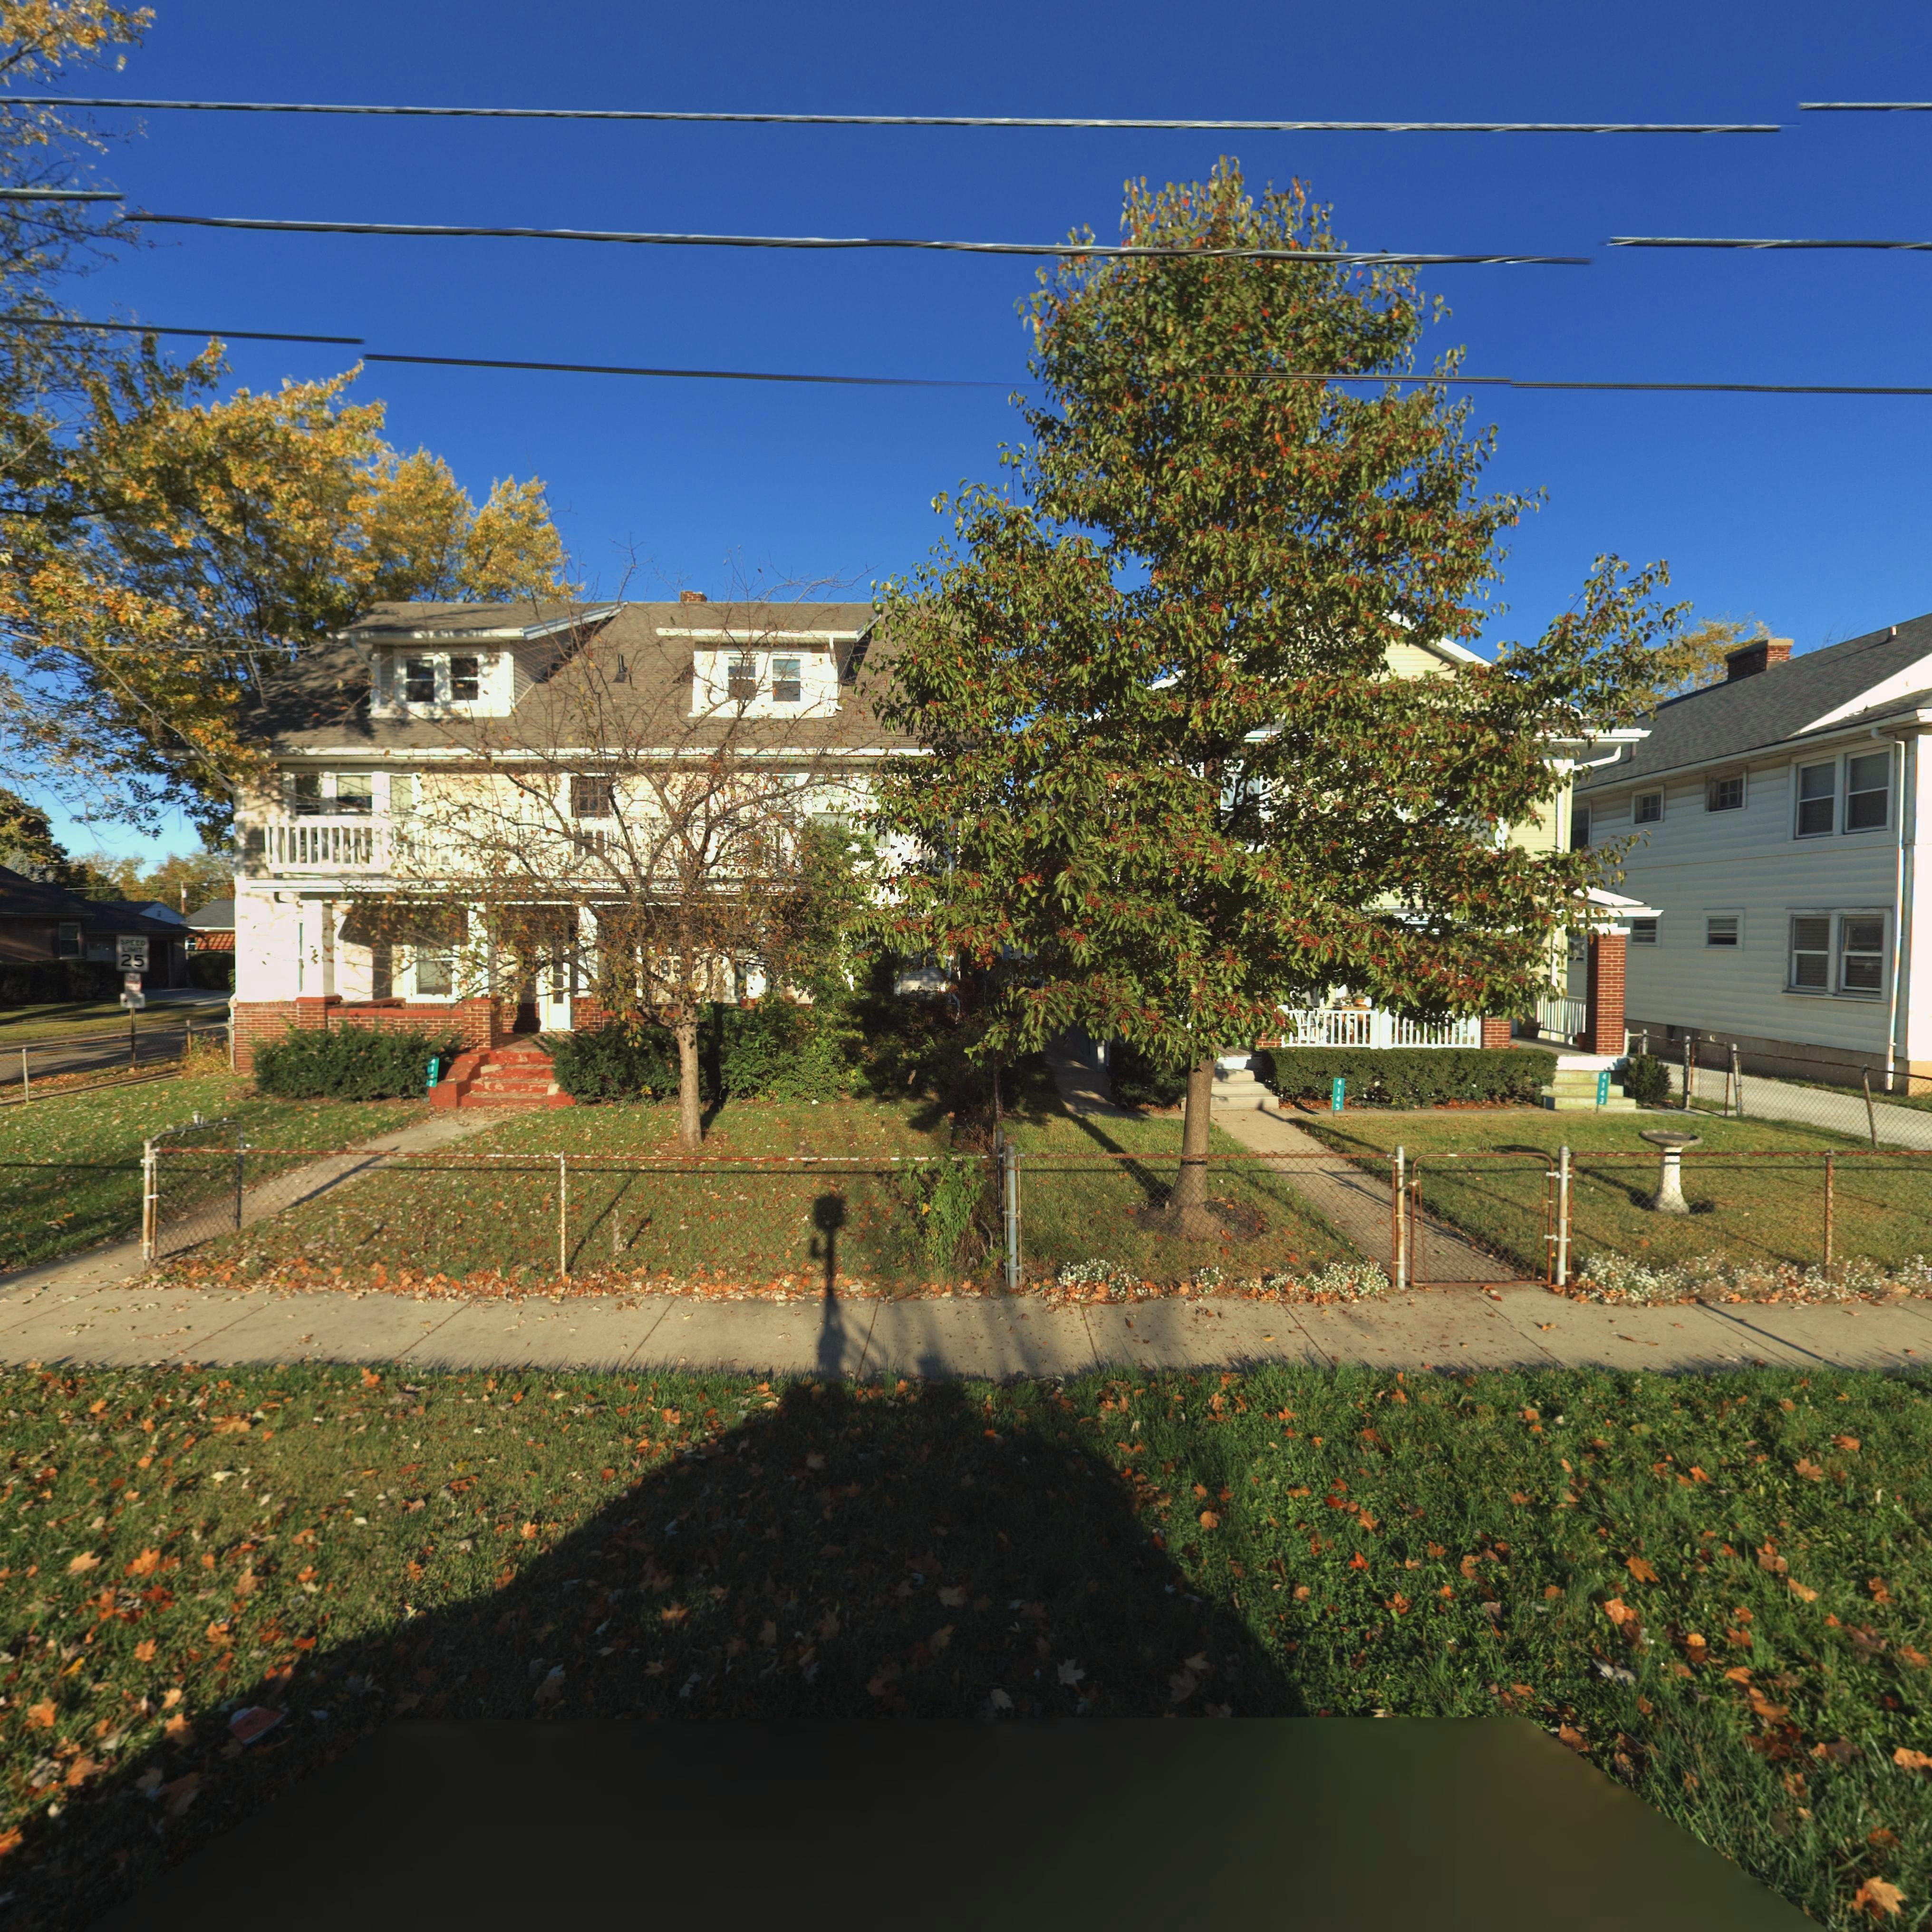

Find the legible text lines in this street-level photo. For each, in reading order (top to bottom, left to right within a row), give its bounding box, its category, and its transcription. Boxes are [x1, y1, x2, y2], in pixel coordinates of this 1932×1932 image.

[428, 1057, 436, 1087] StreetNumber: 41*7
[1335, 1079, 1343, 1110] StreetNumber: 4145
[1598, 1072, 1608, 1104] StreetNumber: 4143